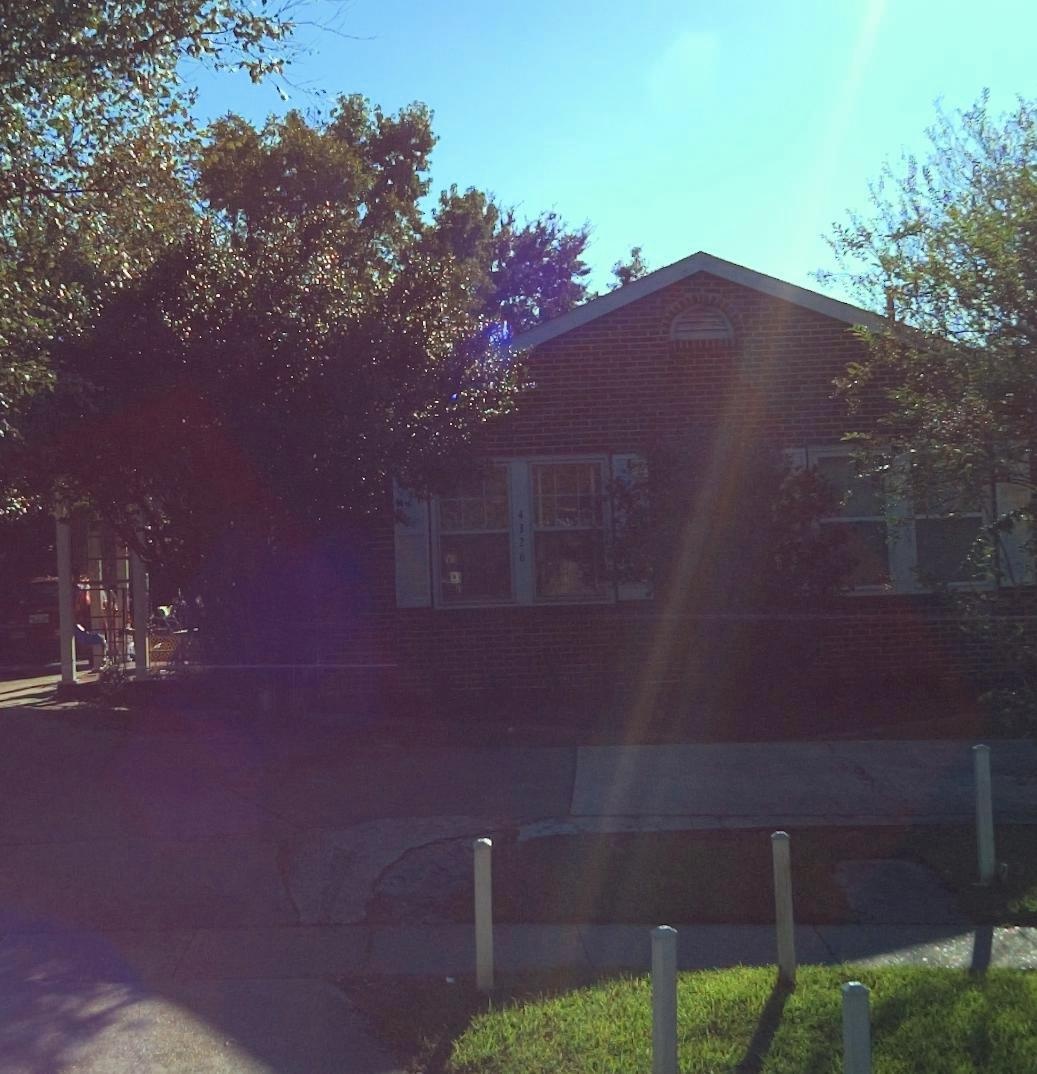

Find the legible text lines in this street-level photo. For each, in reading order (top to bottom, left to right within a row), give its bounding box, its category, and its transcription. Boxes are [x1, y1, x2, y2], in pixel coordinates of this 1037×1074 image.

[515, 508, 528, 565] StreetNumber: 432*